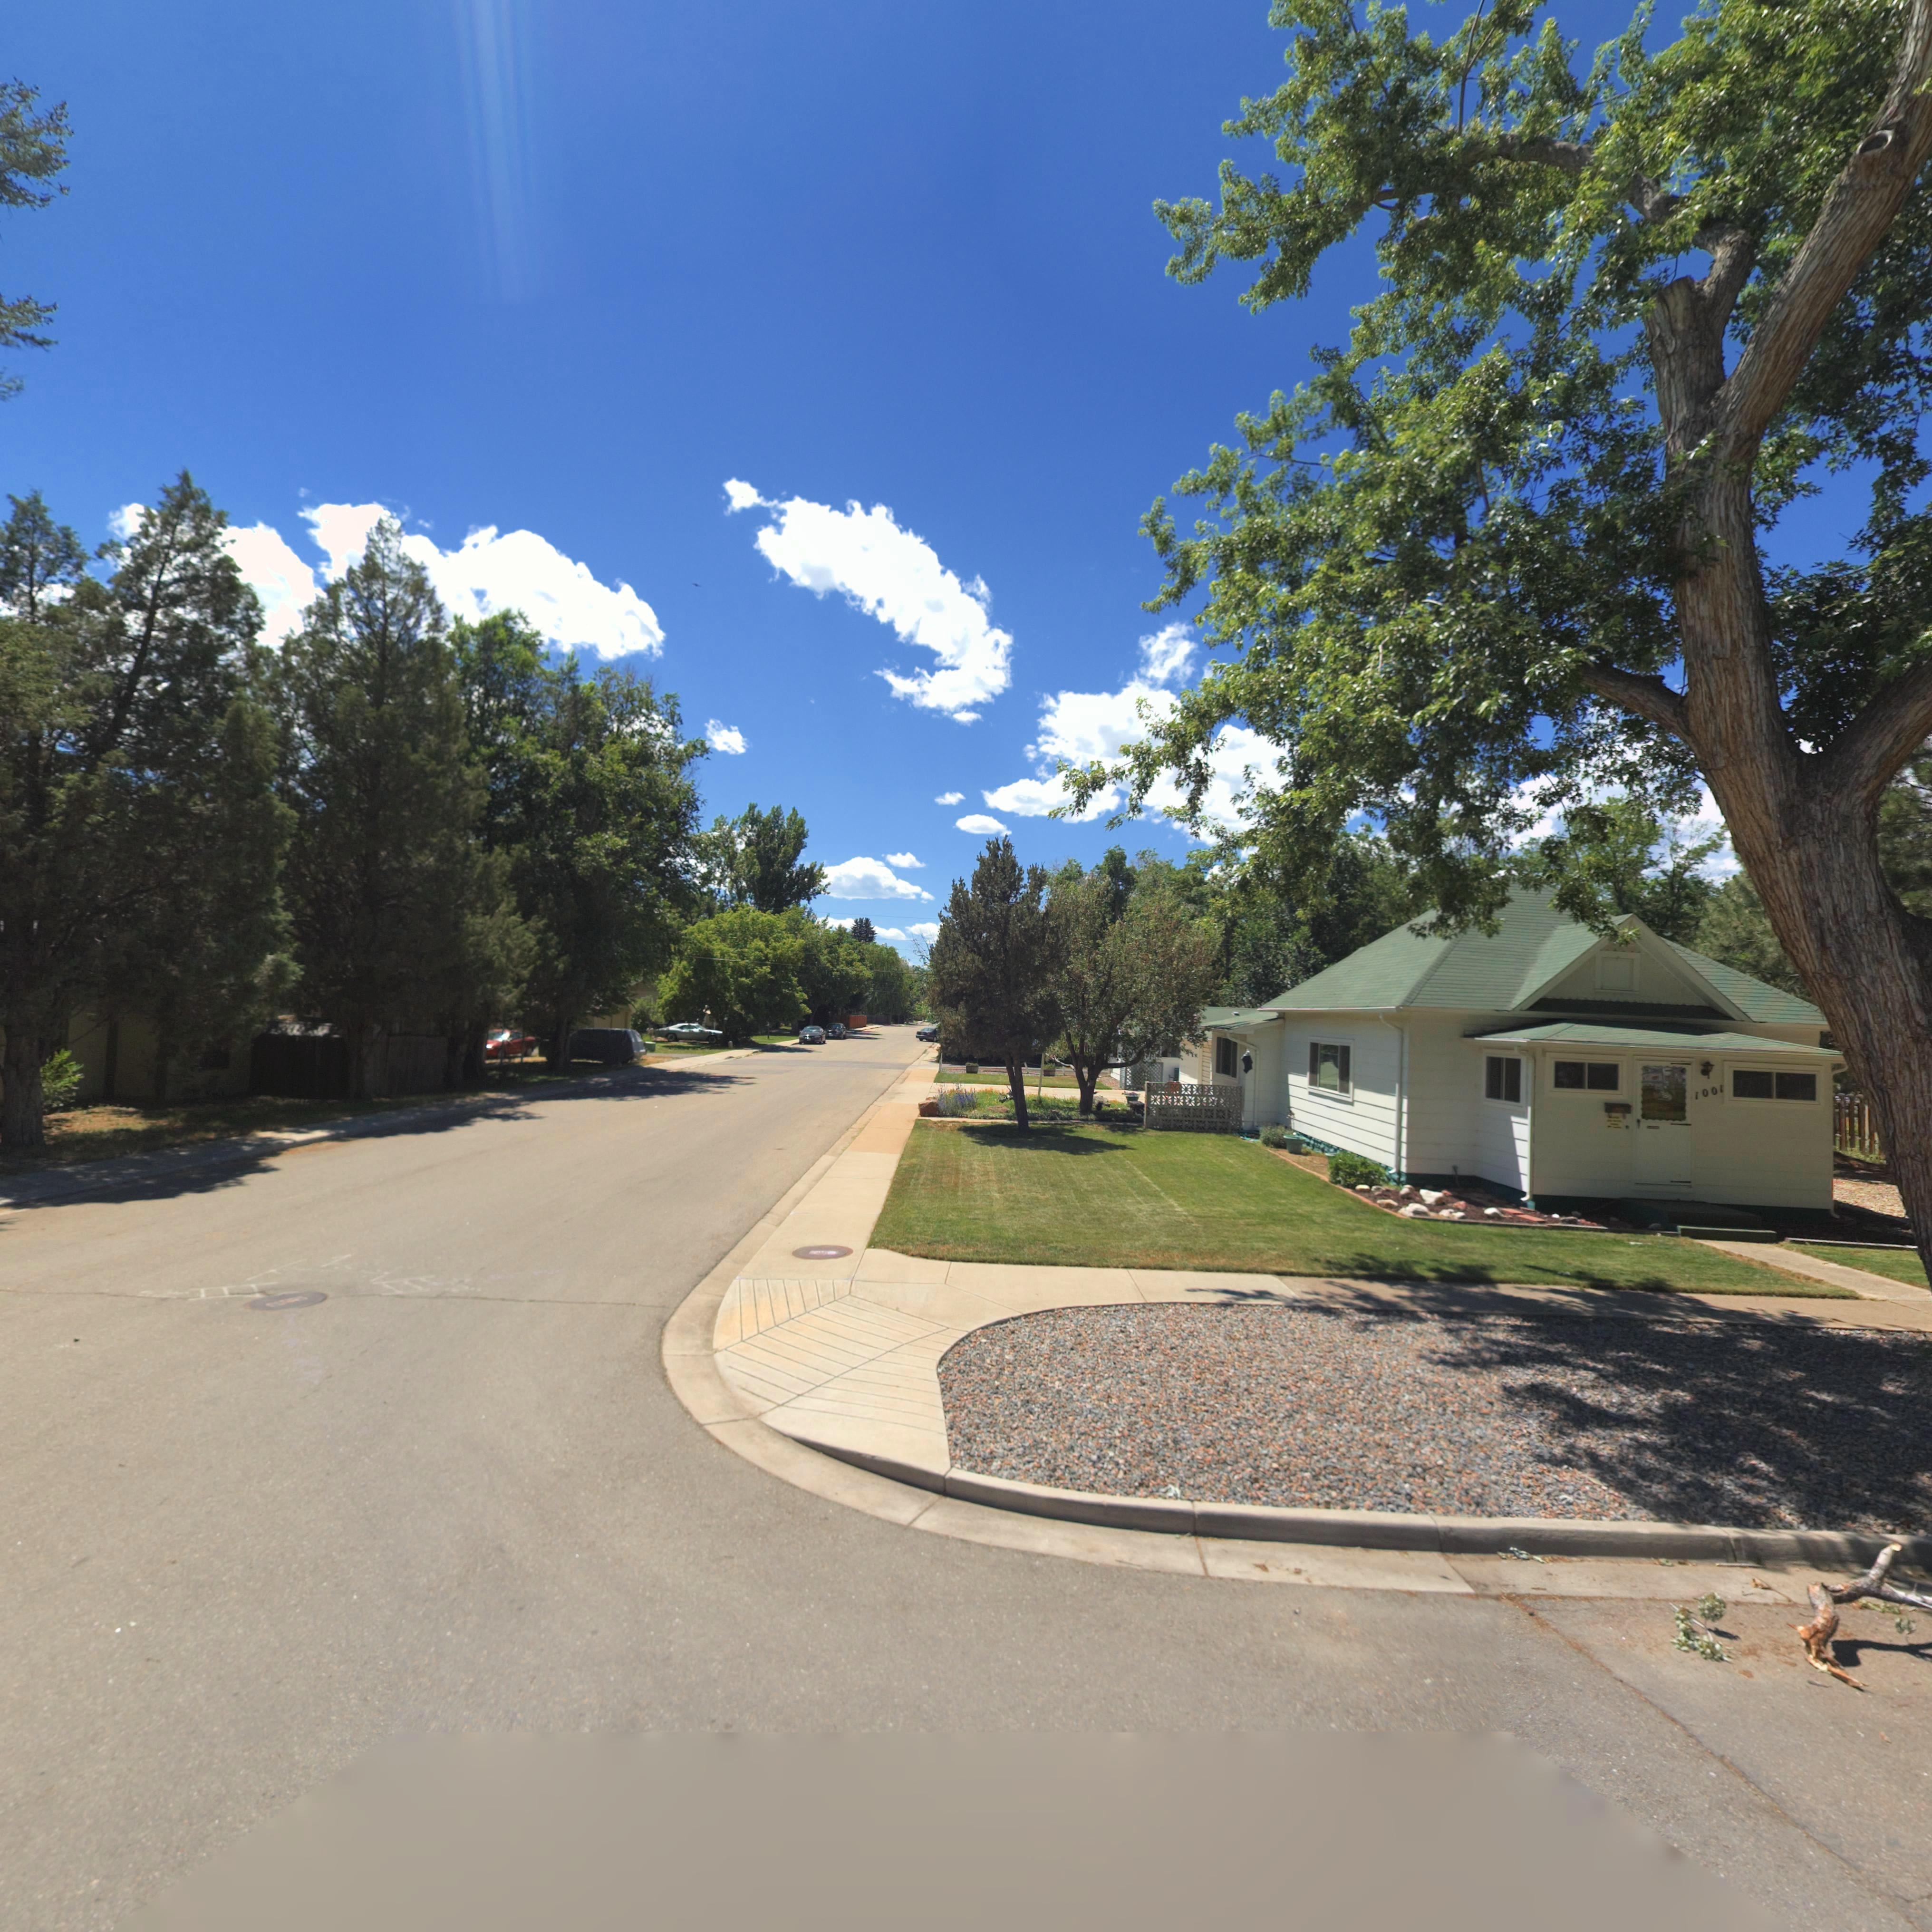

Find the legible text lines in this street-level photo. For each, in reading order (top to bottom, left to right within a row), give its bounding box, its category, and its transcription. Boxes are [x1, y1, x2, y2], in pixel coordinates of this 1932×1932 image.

[1695, 1083, 1723, 1100] StreetNumber: 1001